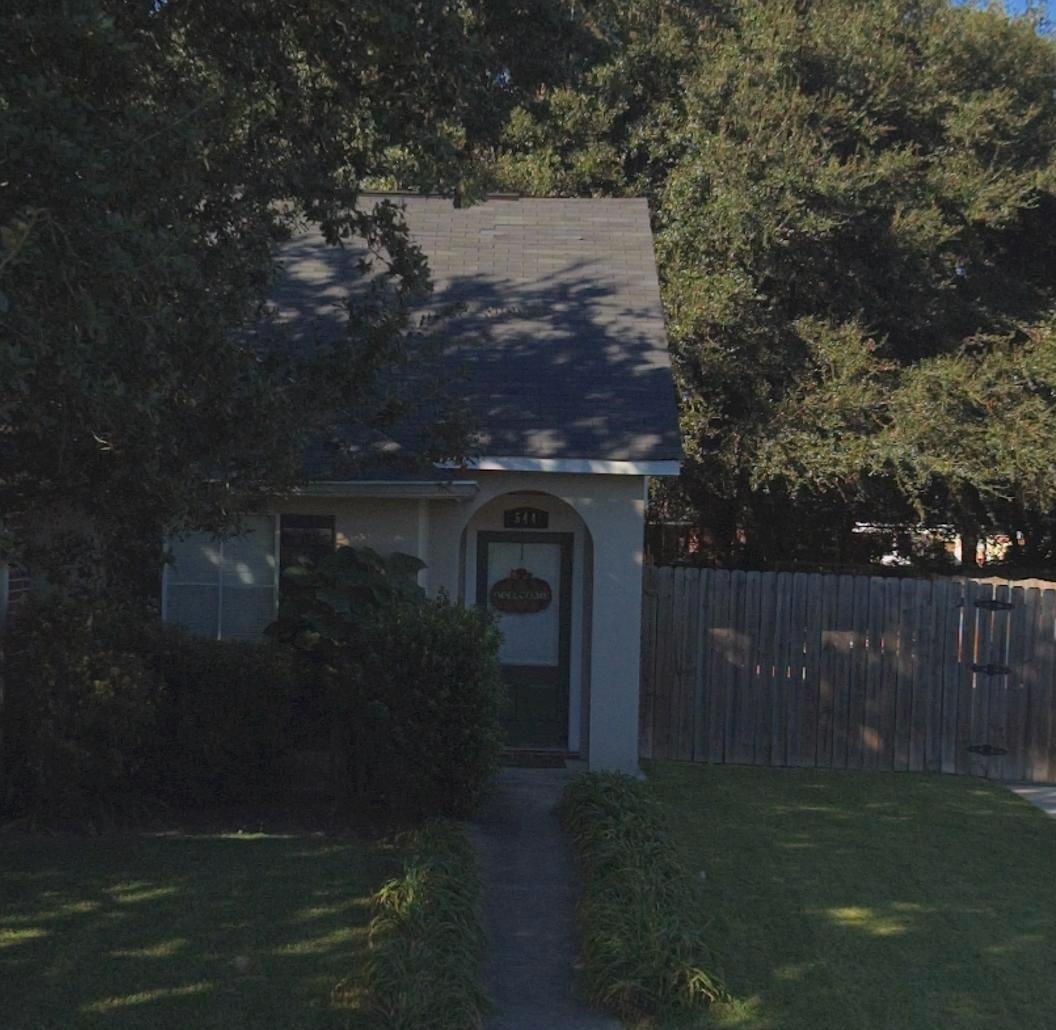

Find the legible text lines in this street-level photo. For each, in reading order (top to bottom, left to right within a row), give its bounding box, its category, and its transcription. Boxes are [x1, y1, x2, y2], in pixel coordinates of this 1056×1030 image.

[512, 511, 539, 525] StreetNumber: 544
[492, 589, 548, 599] None: WELCOME